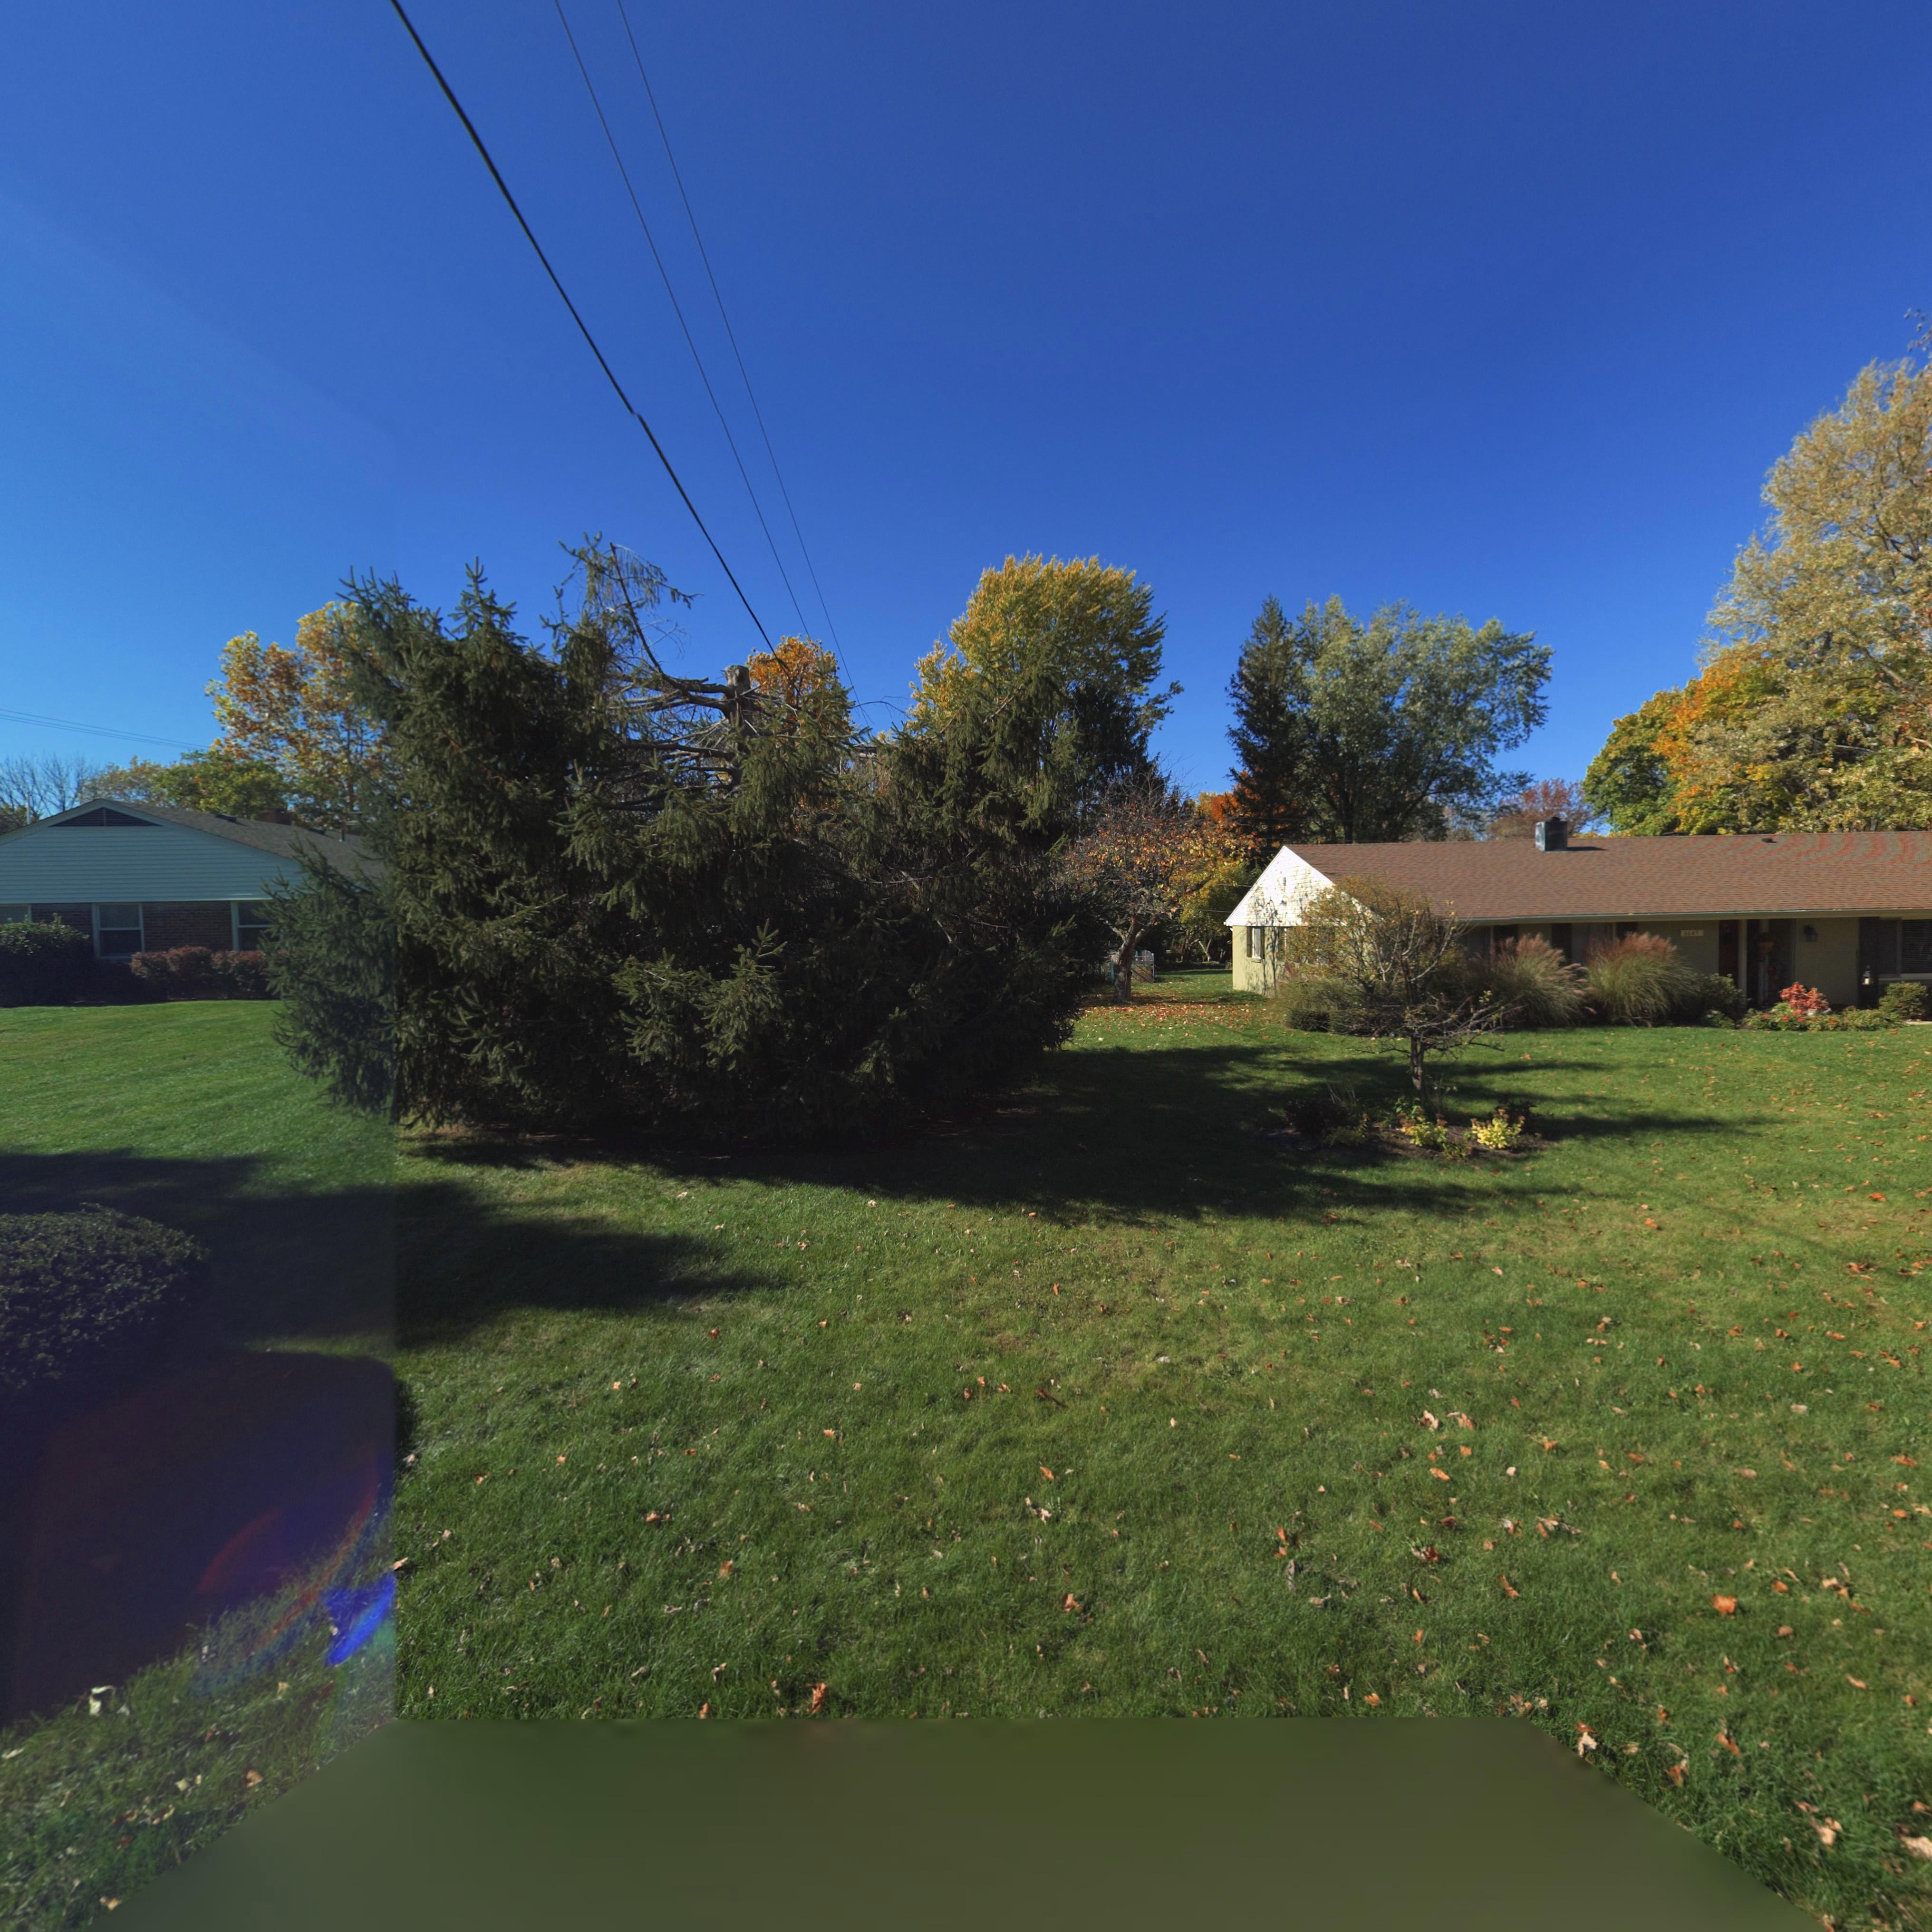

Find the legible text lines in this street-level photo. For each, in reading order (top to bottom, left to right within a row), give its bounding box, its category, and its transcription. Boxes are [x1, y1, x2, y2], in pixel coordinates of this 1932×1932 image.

[1683, 929, 1700, 937] StreetNumber: 6645